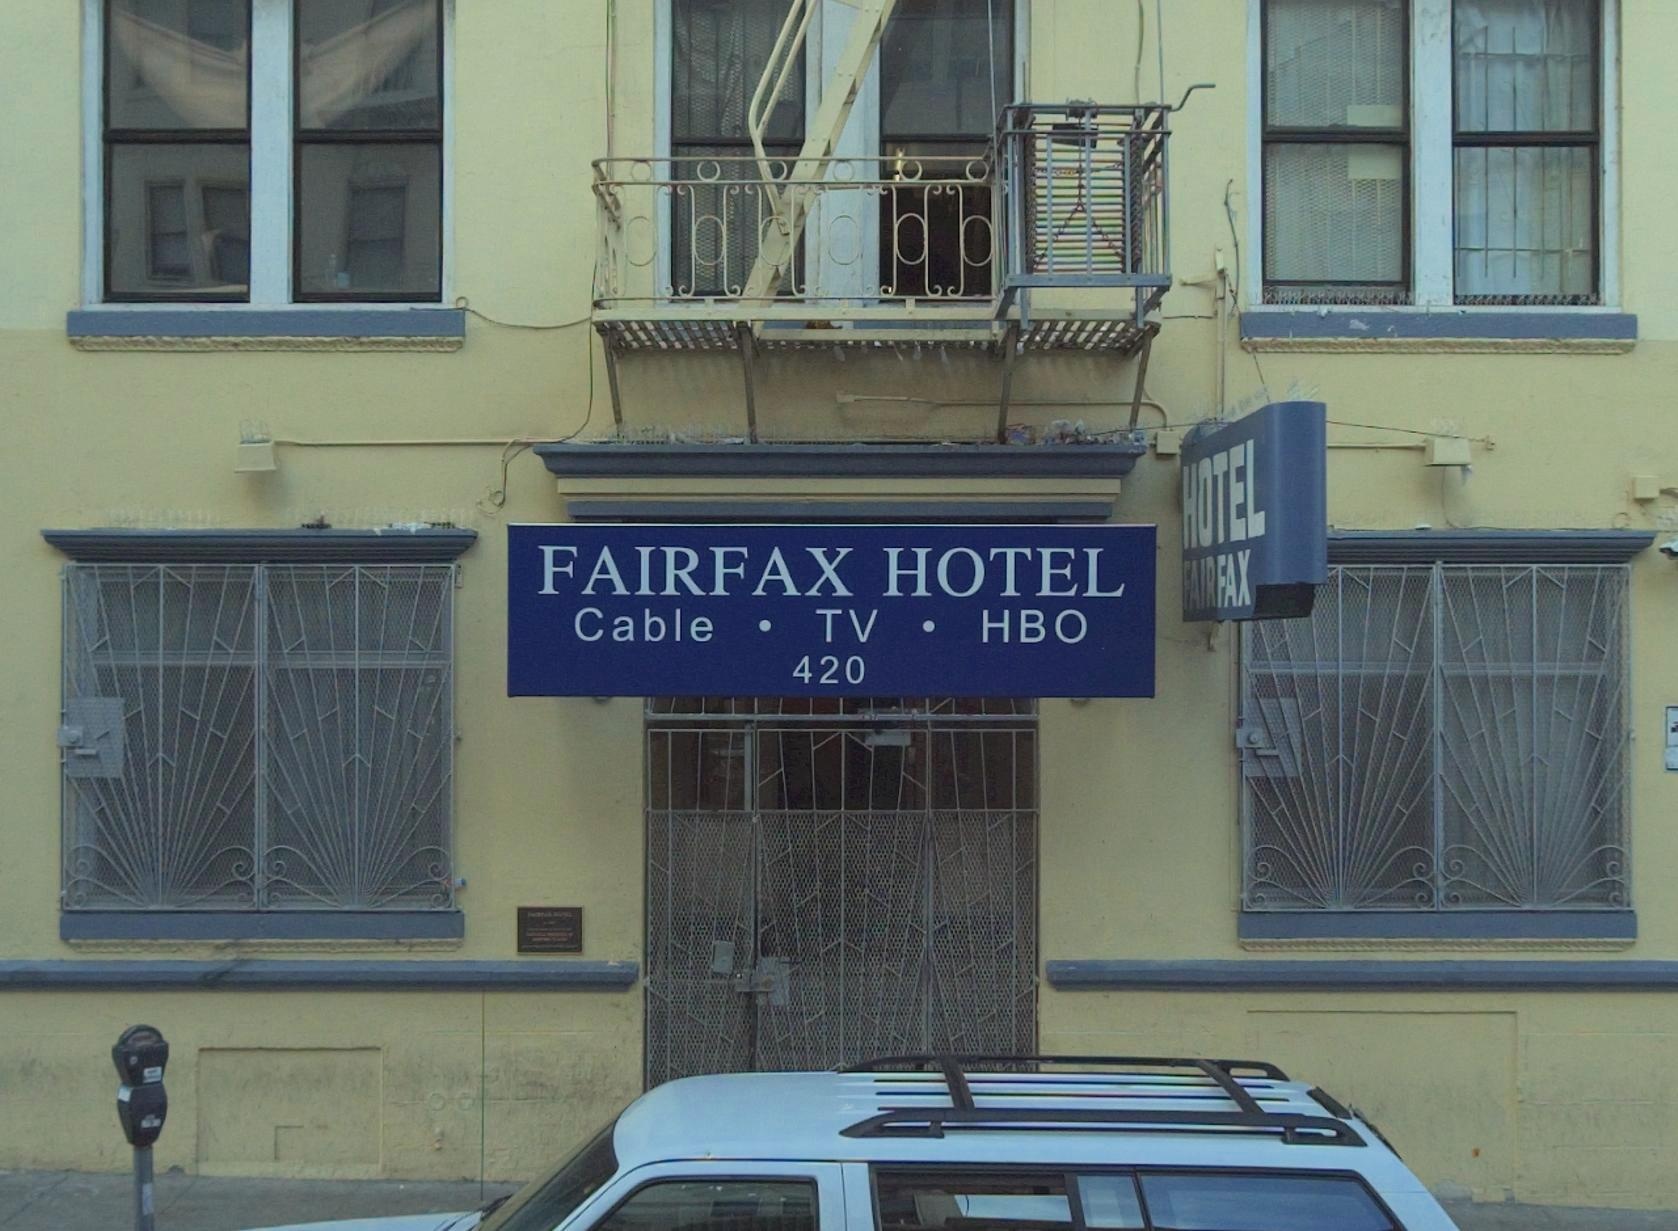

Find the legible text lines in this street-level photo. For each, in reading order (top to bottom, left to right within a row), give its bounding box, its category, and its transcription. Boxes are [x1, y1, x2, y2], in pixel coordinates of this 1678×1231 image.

[1179, 433, 1270, 555] BusinessName: HOTEL
[531, 540, 1129, 601] BusinessName: FAIRFAX HOTEL
[1179, 544, 1256, 617] BusinessName: FAIRFAX
[569, 605, 1092, 648] None: Cable * TV * HBO
[787, 651, 869, 688] StreetNumber: 420